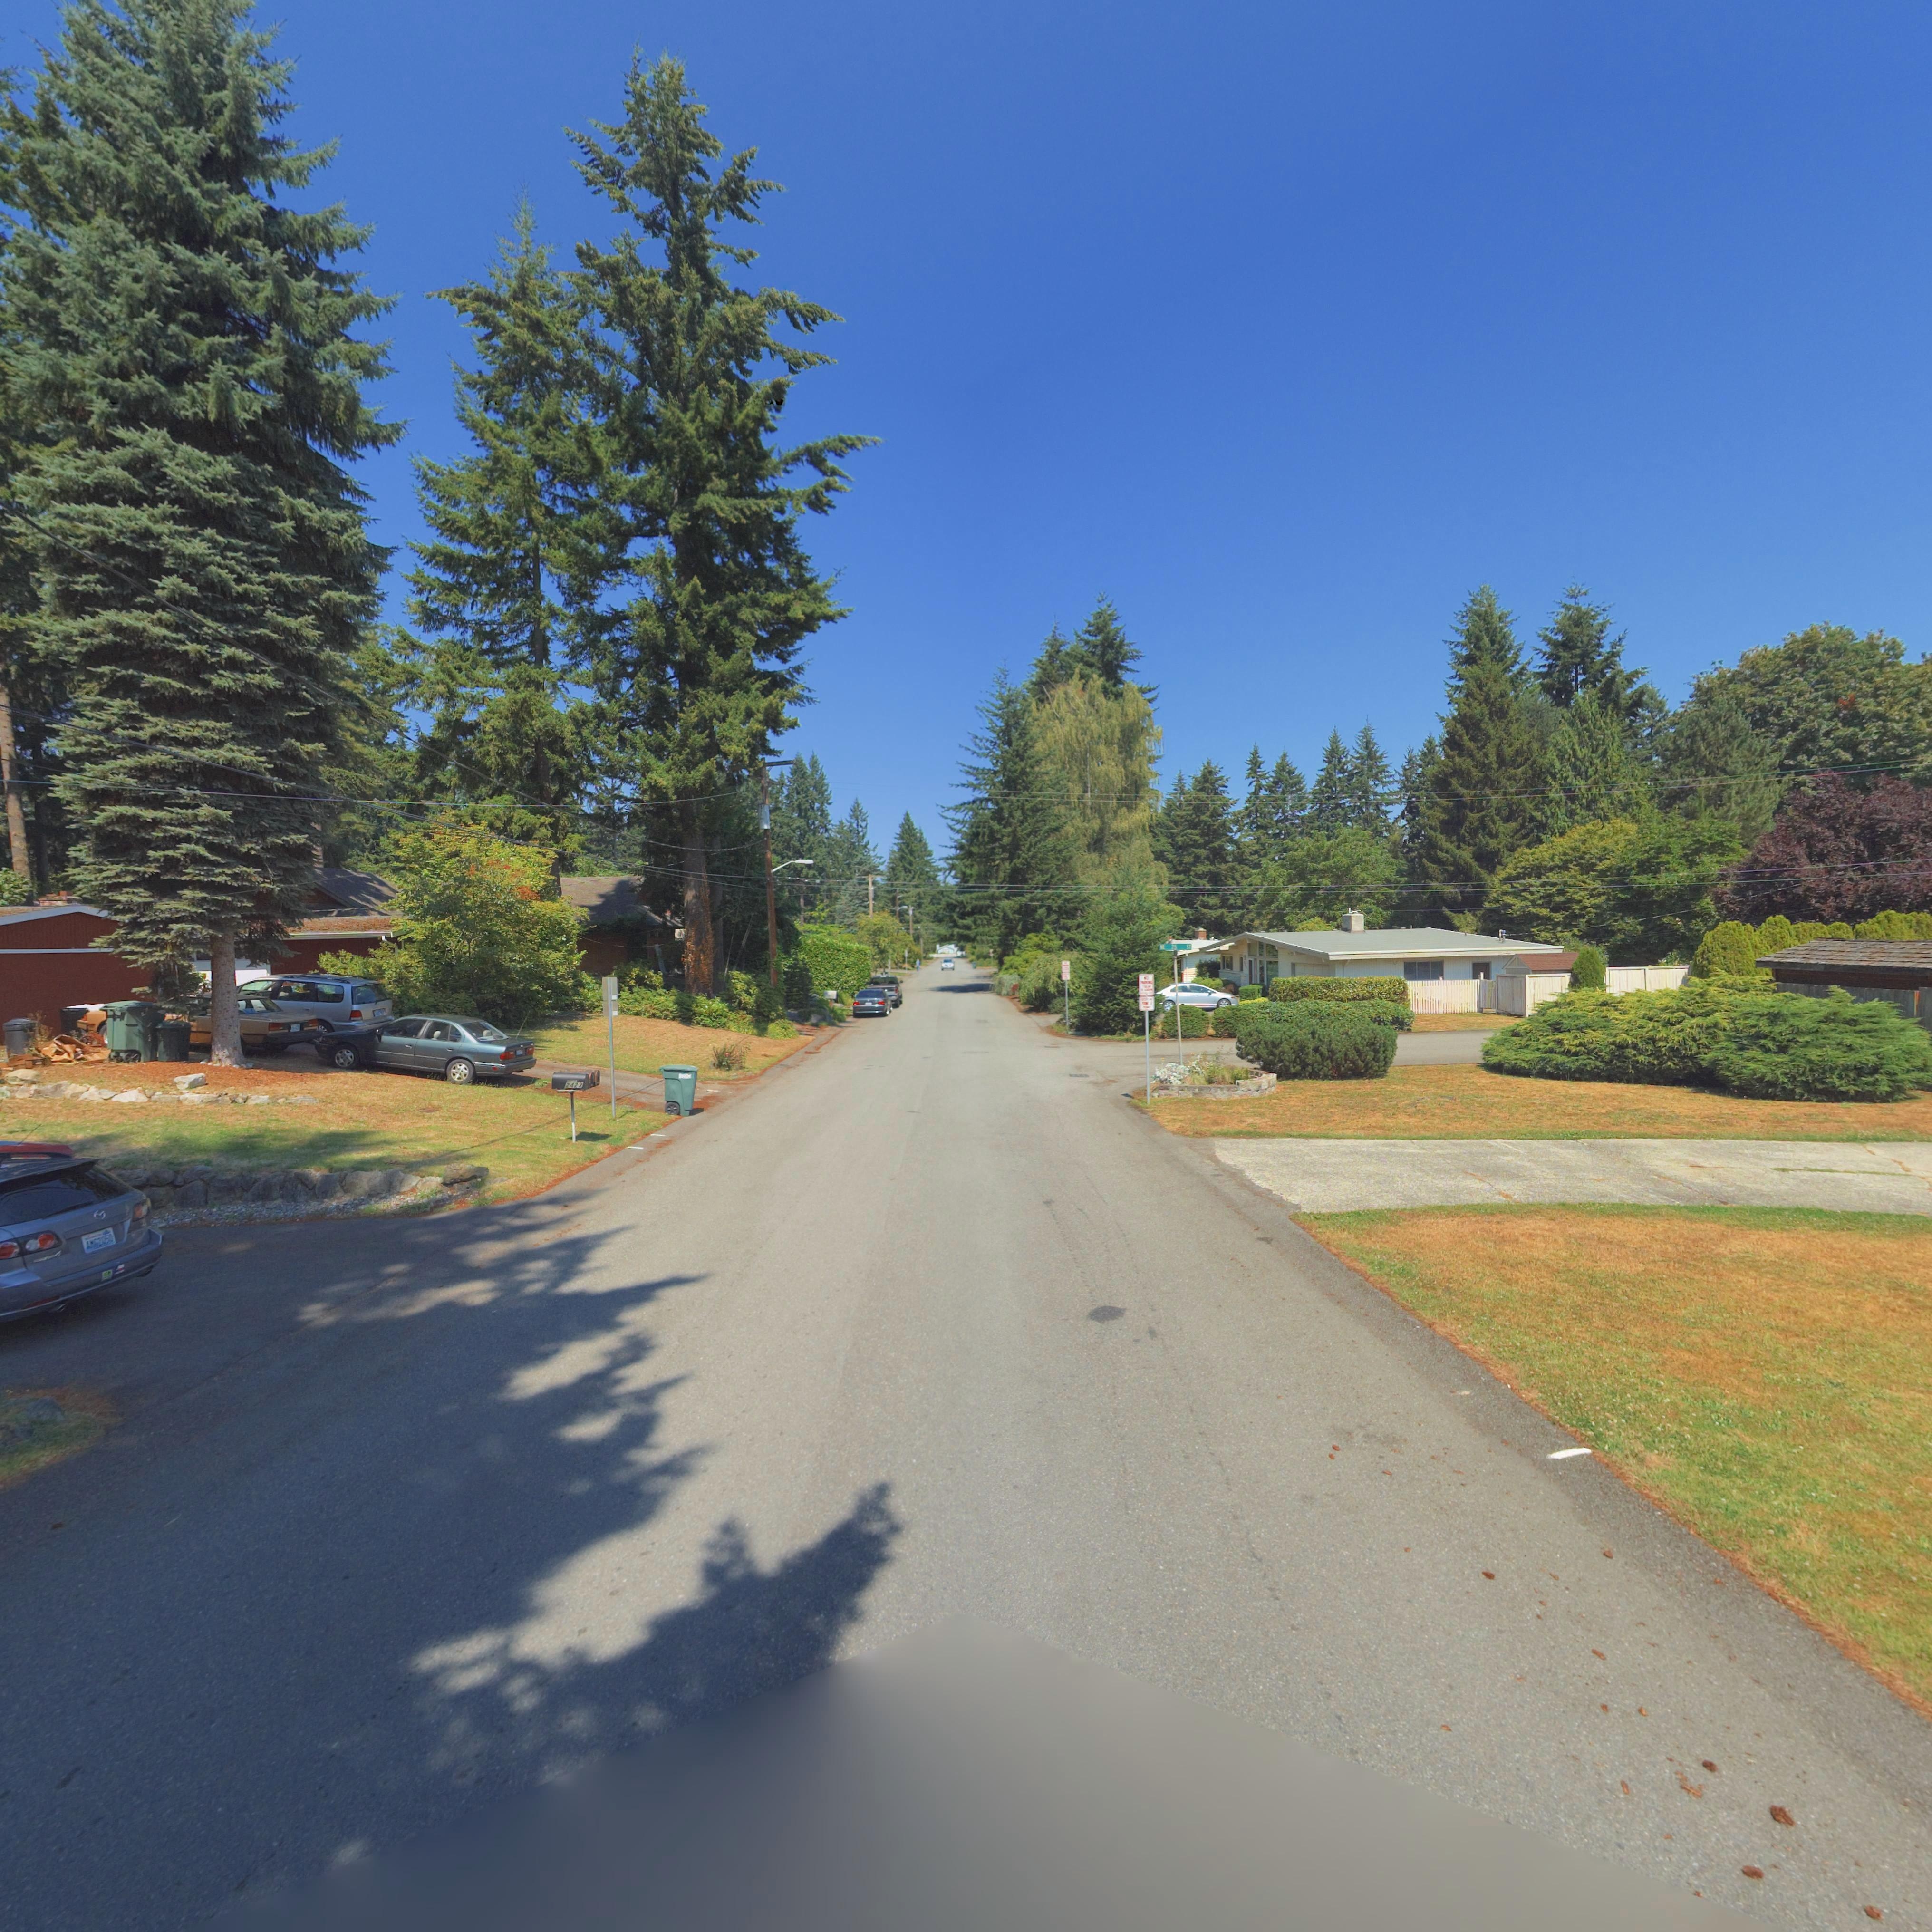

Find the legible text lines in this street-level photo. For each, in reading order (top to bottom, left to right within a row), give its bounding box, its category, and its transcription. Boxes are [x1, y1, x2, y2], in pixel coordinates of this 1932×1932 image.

[1170, 944, 1191, 950] StreetName: 25 ST
[565, 1083, 582, 1087] StreetNumber: 2423